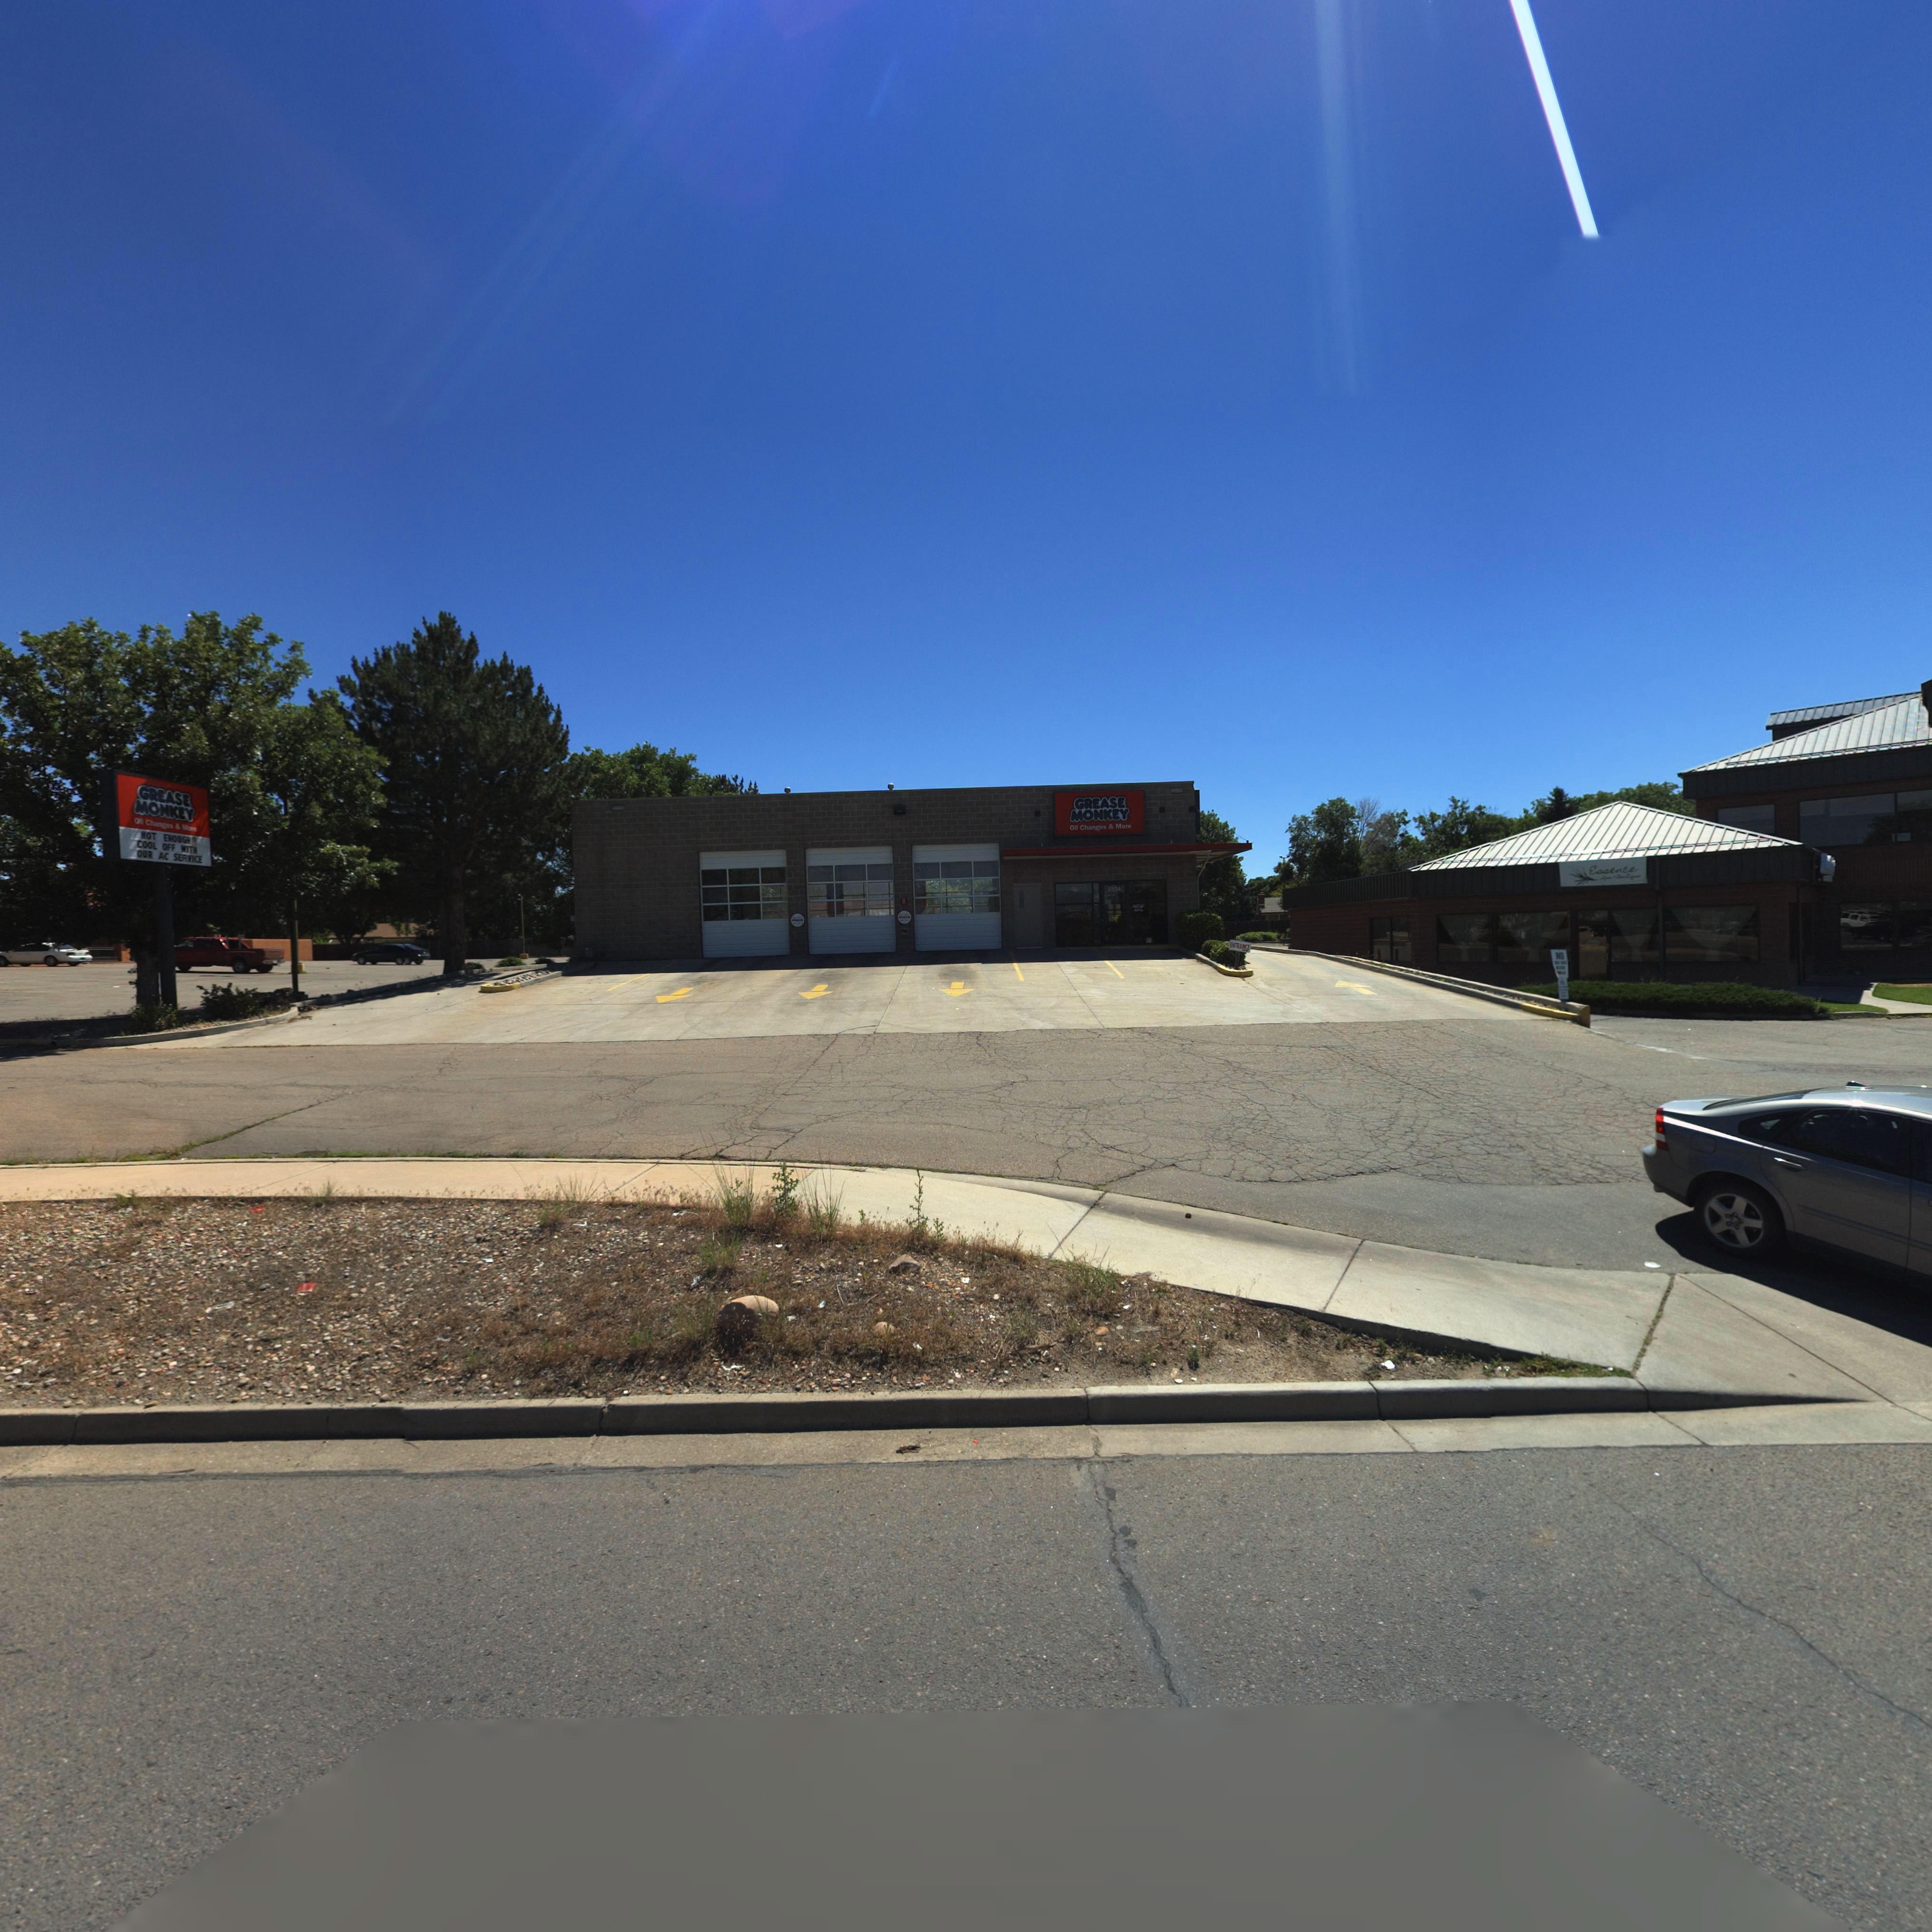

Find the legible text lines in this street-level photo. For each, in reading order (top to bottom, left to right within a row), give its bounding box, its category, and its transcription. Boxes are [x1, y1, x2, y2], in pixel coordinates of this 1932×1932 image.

[136, 784, 191, 807] BusinessName: GREASE
[1073, 796, 1126, 810] BusinessName: GREASE
[133, 798, 194, 822] BusinessName: MONKEY
[1069, 808, 1130, 822] BusinessName: MONKEY
[1588, 864, 1639, 876] BusinessName: Essence
[1107, 886, 1121, 892] StreetNumber: 2334